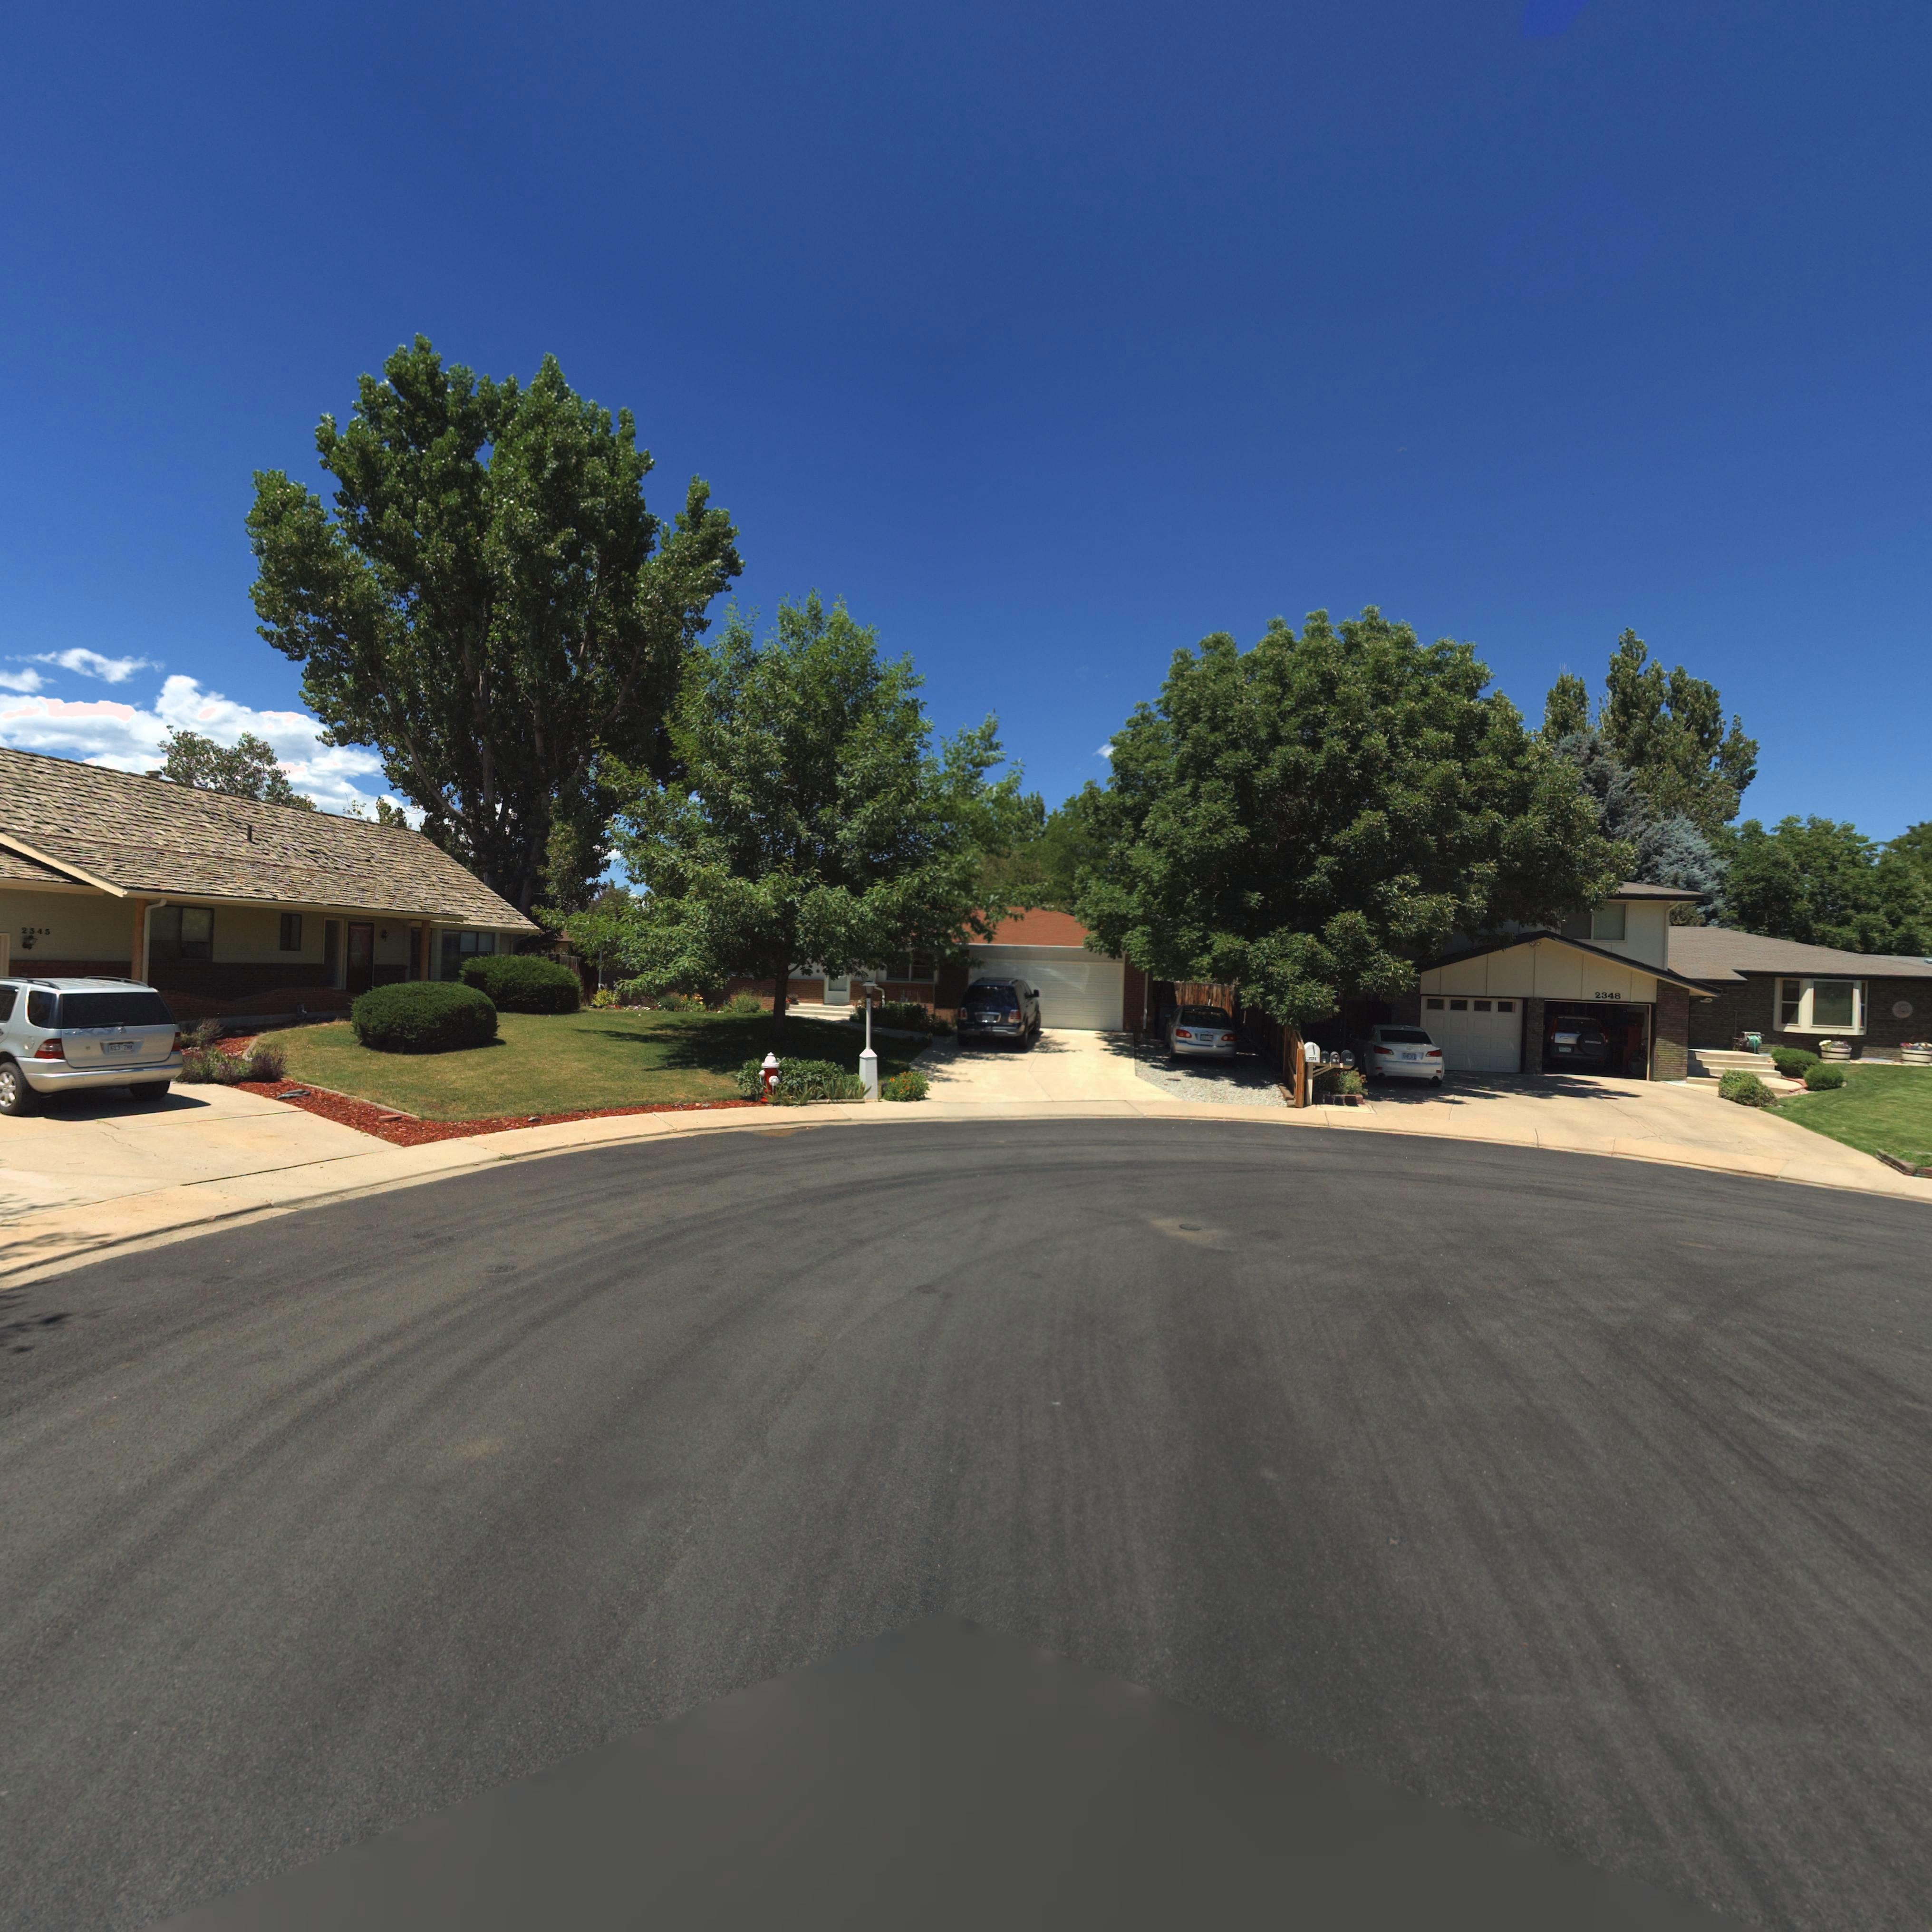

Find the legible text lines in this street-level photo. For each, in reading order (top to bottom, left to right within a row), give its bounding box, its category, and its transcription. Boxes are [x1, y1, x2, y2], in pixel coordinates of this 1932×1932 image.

[21, 926, 50, 935] StreetNumber: 2343
[1594, 991, 1621, 999] StreetNumber: 2348
[1308, 1056, 1316, 1060] StreetNumber: 2354